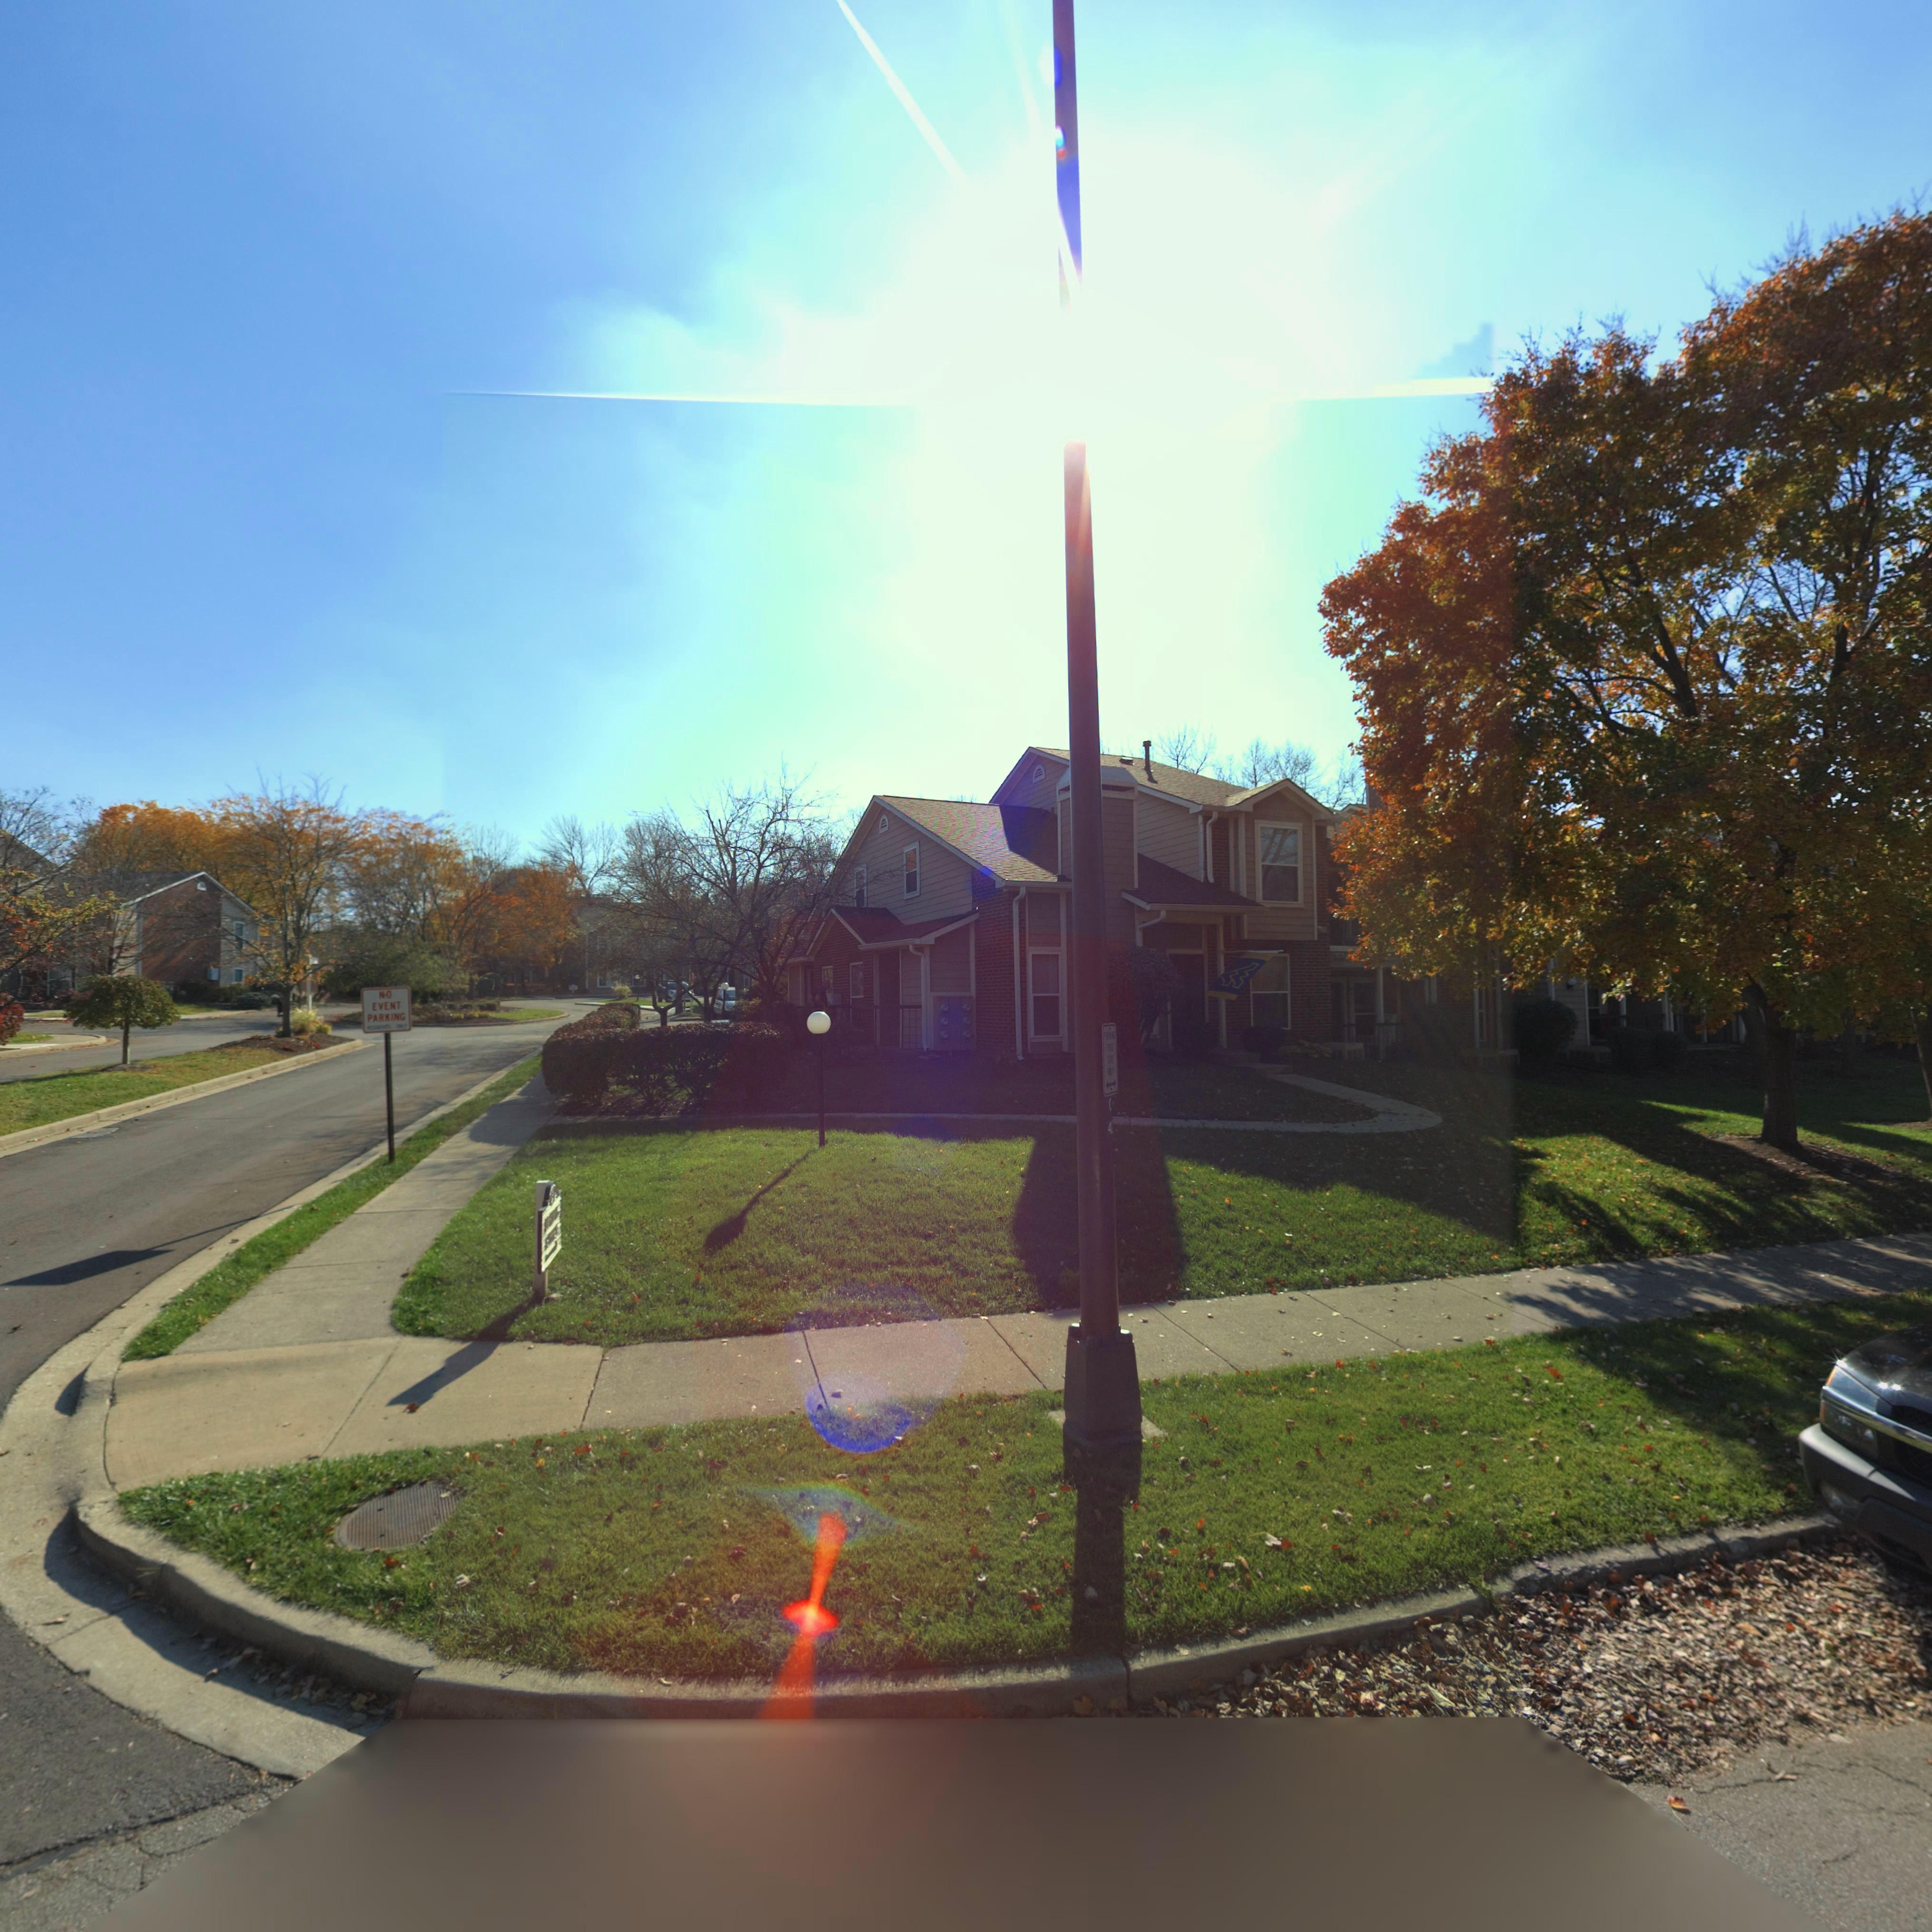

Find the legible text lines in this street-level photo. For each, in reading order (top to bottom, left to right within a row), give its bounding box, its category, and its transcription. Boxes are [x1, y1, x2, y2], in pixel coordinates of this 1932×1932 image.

[378, 990, 392, 999] None: NO
[371, 1000, 401, 1012] None: EVENT
[367, 1012, 406, 1023] None: PARKING
[1103, 1030, 1116, 1039] None: PARKING
[1105, 1042, 1115, 1052] None: THIS
[1106, 1054, 1114, 1064] None: SIDE
[1107, 1066, 1115, 1076] None: ONLY